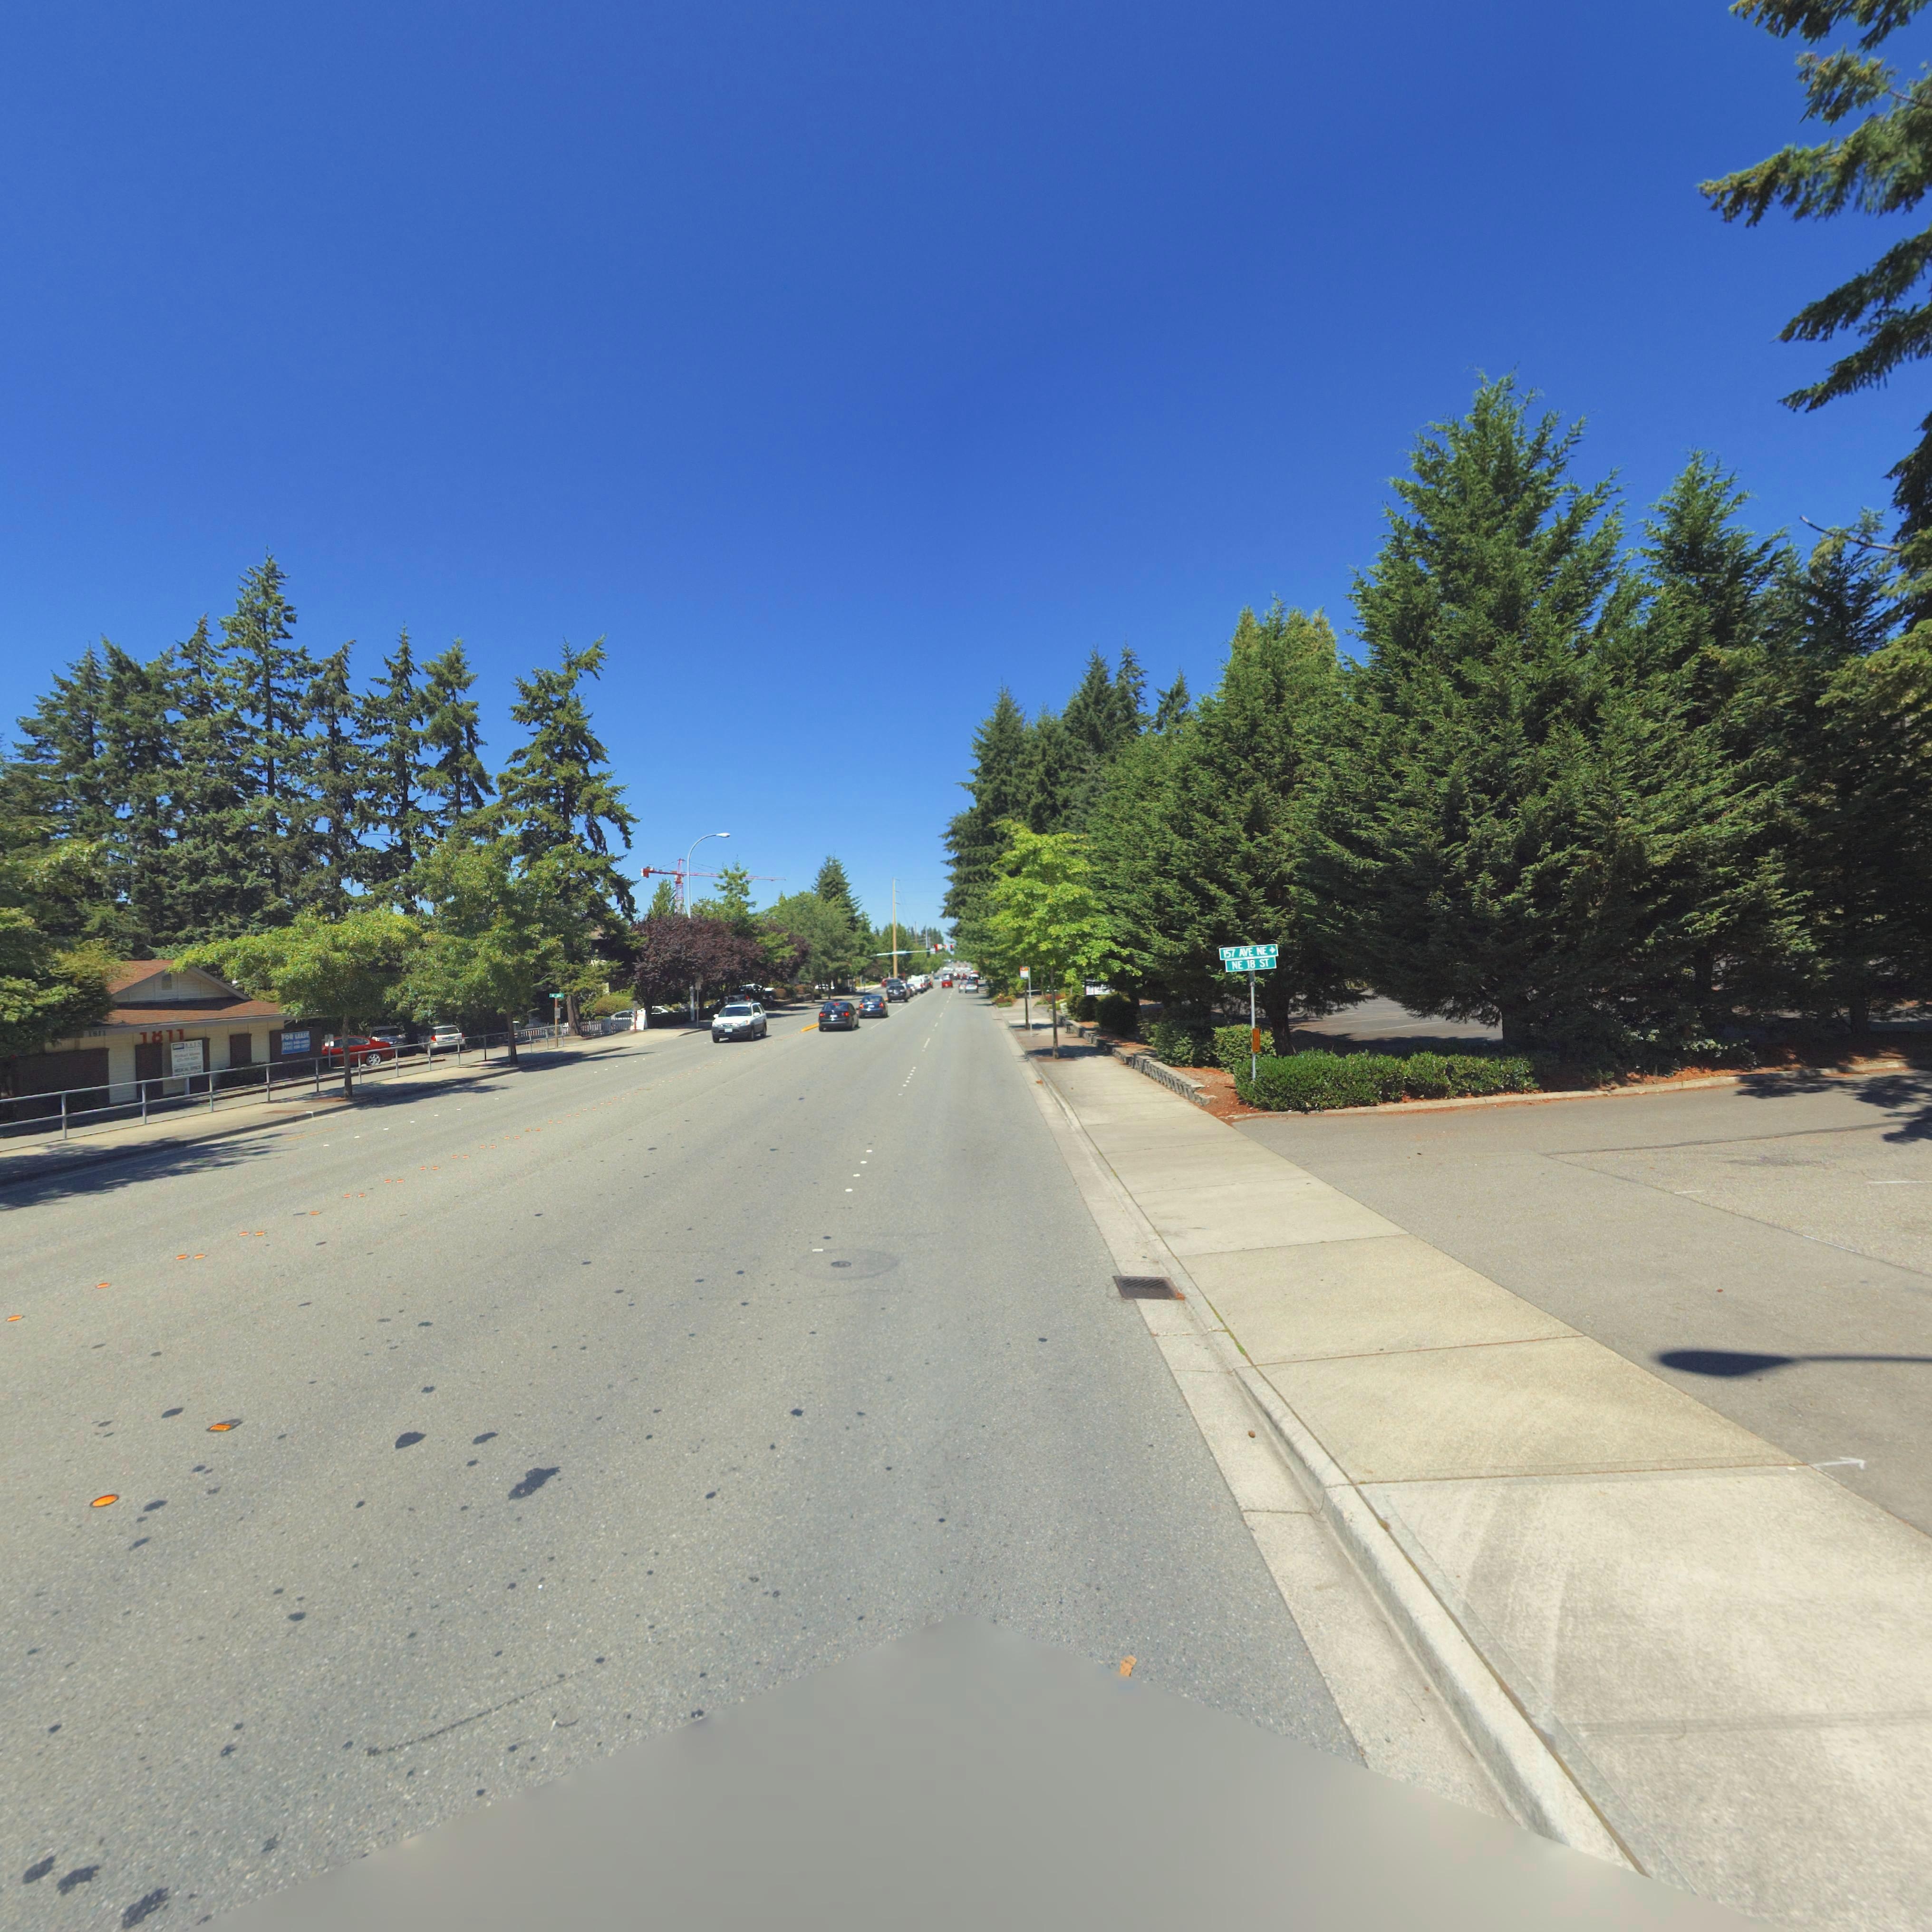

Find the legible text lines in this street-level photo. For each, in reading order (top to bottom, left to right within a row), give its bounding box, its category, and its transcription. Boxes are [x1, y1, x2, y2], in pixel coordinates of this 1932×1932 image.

[1230, 957, 1270, 971] StreetName: NE 18 ST
[138, 1027, 186, 1044] StreetNumber: 1811